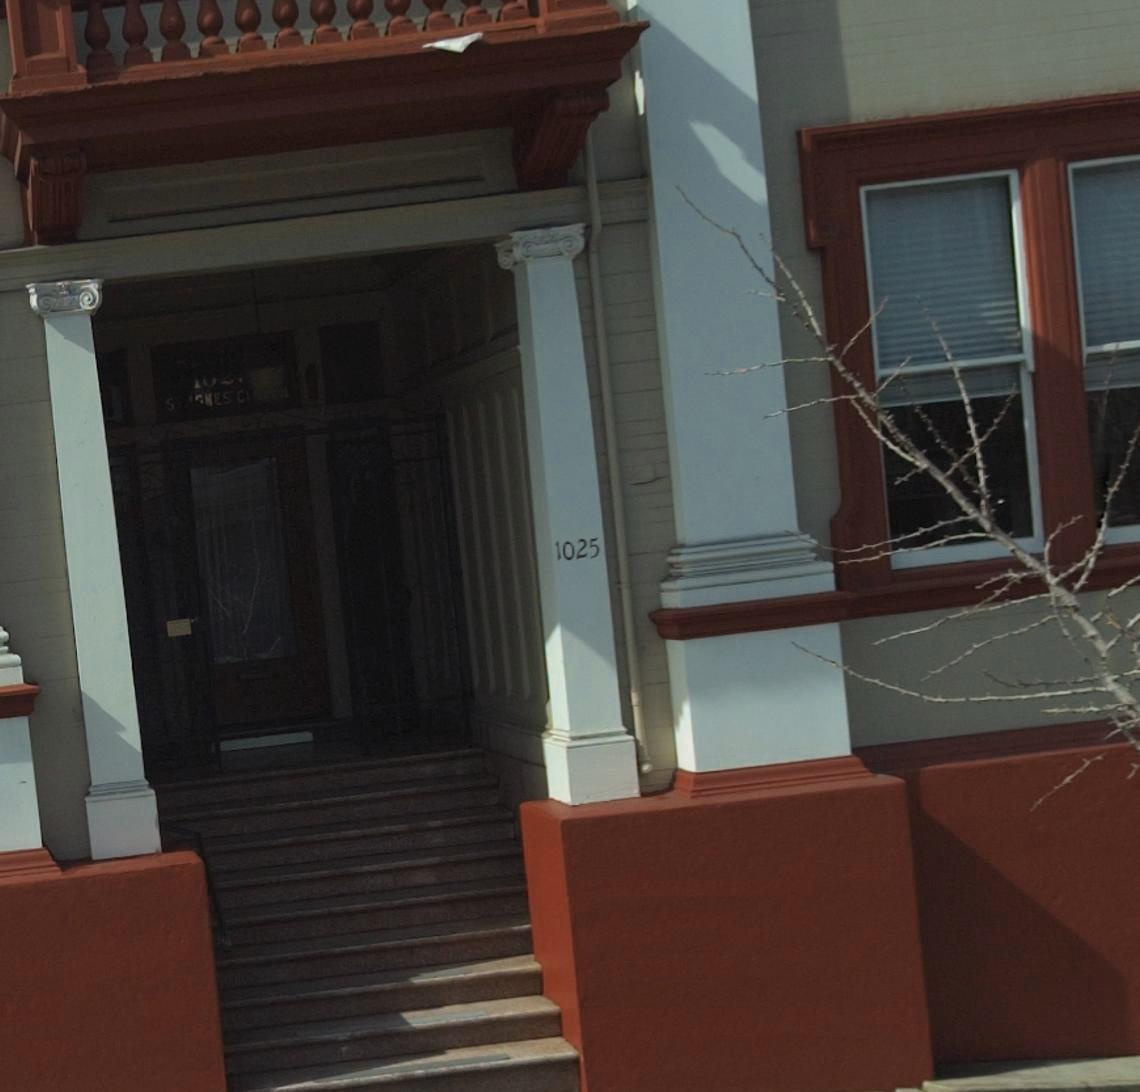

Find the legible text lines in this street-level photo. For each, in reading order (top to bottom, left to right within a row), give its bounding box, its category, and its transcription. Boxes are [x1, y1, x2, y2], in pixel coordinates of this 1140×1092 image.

[553, 534, 602, 564] StreetNumber: 1025